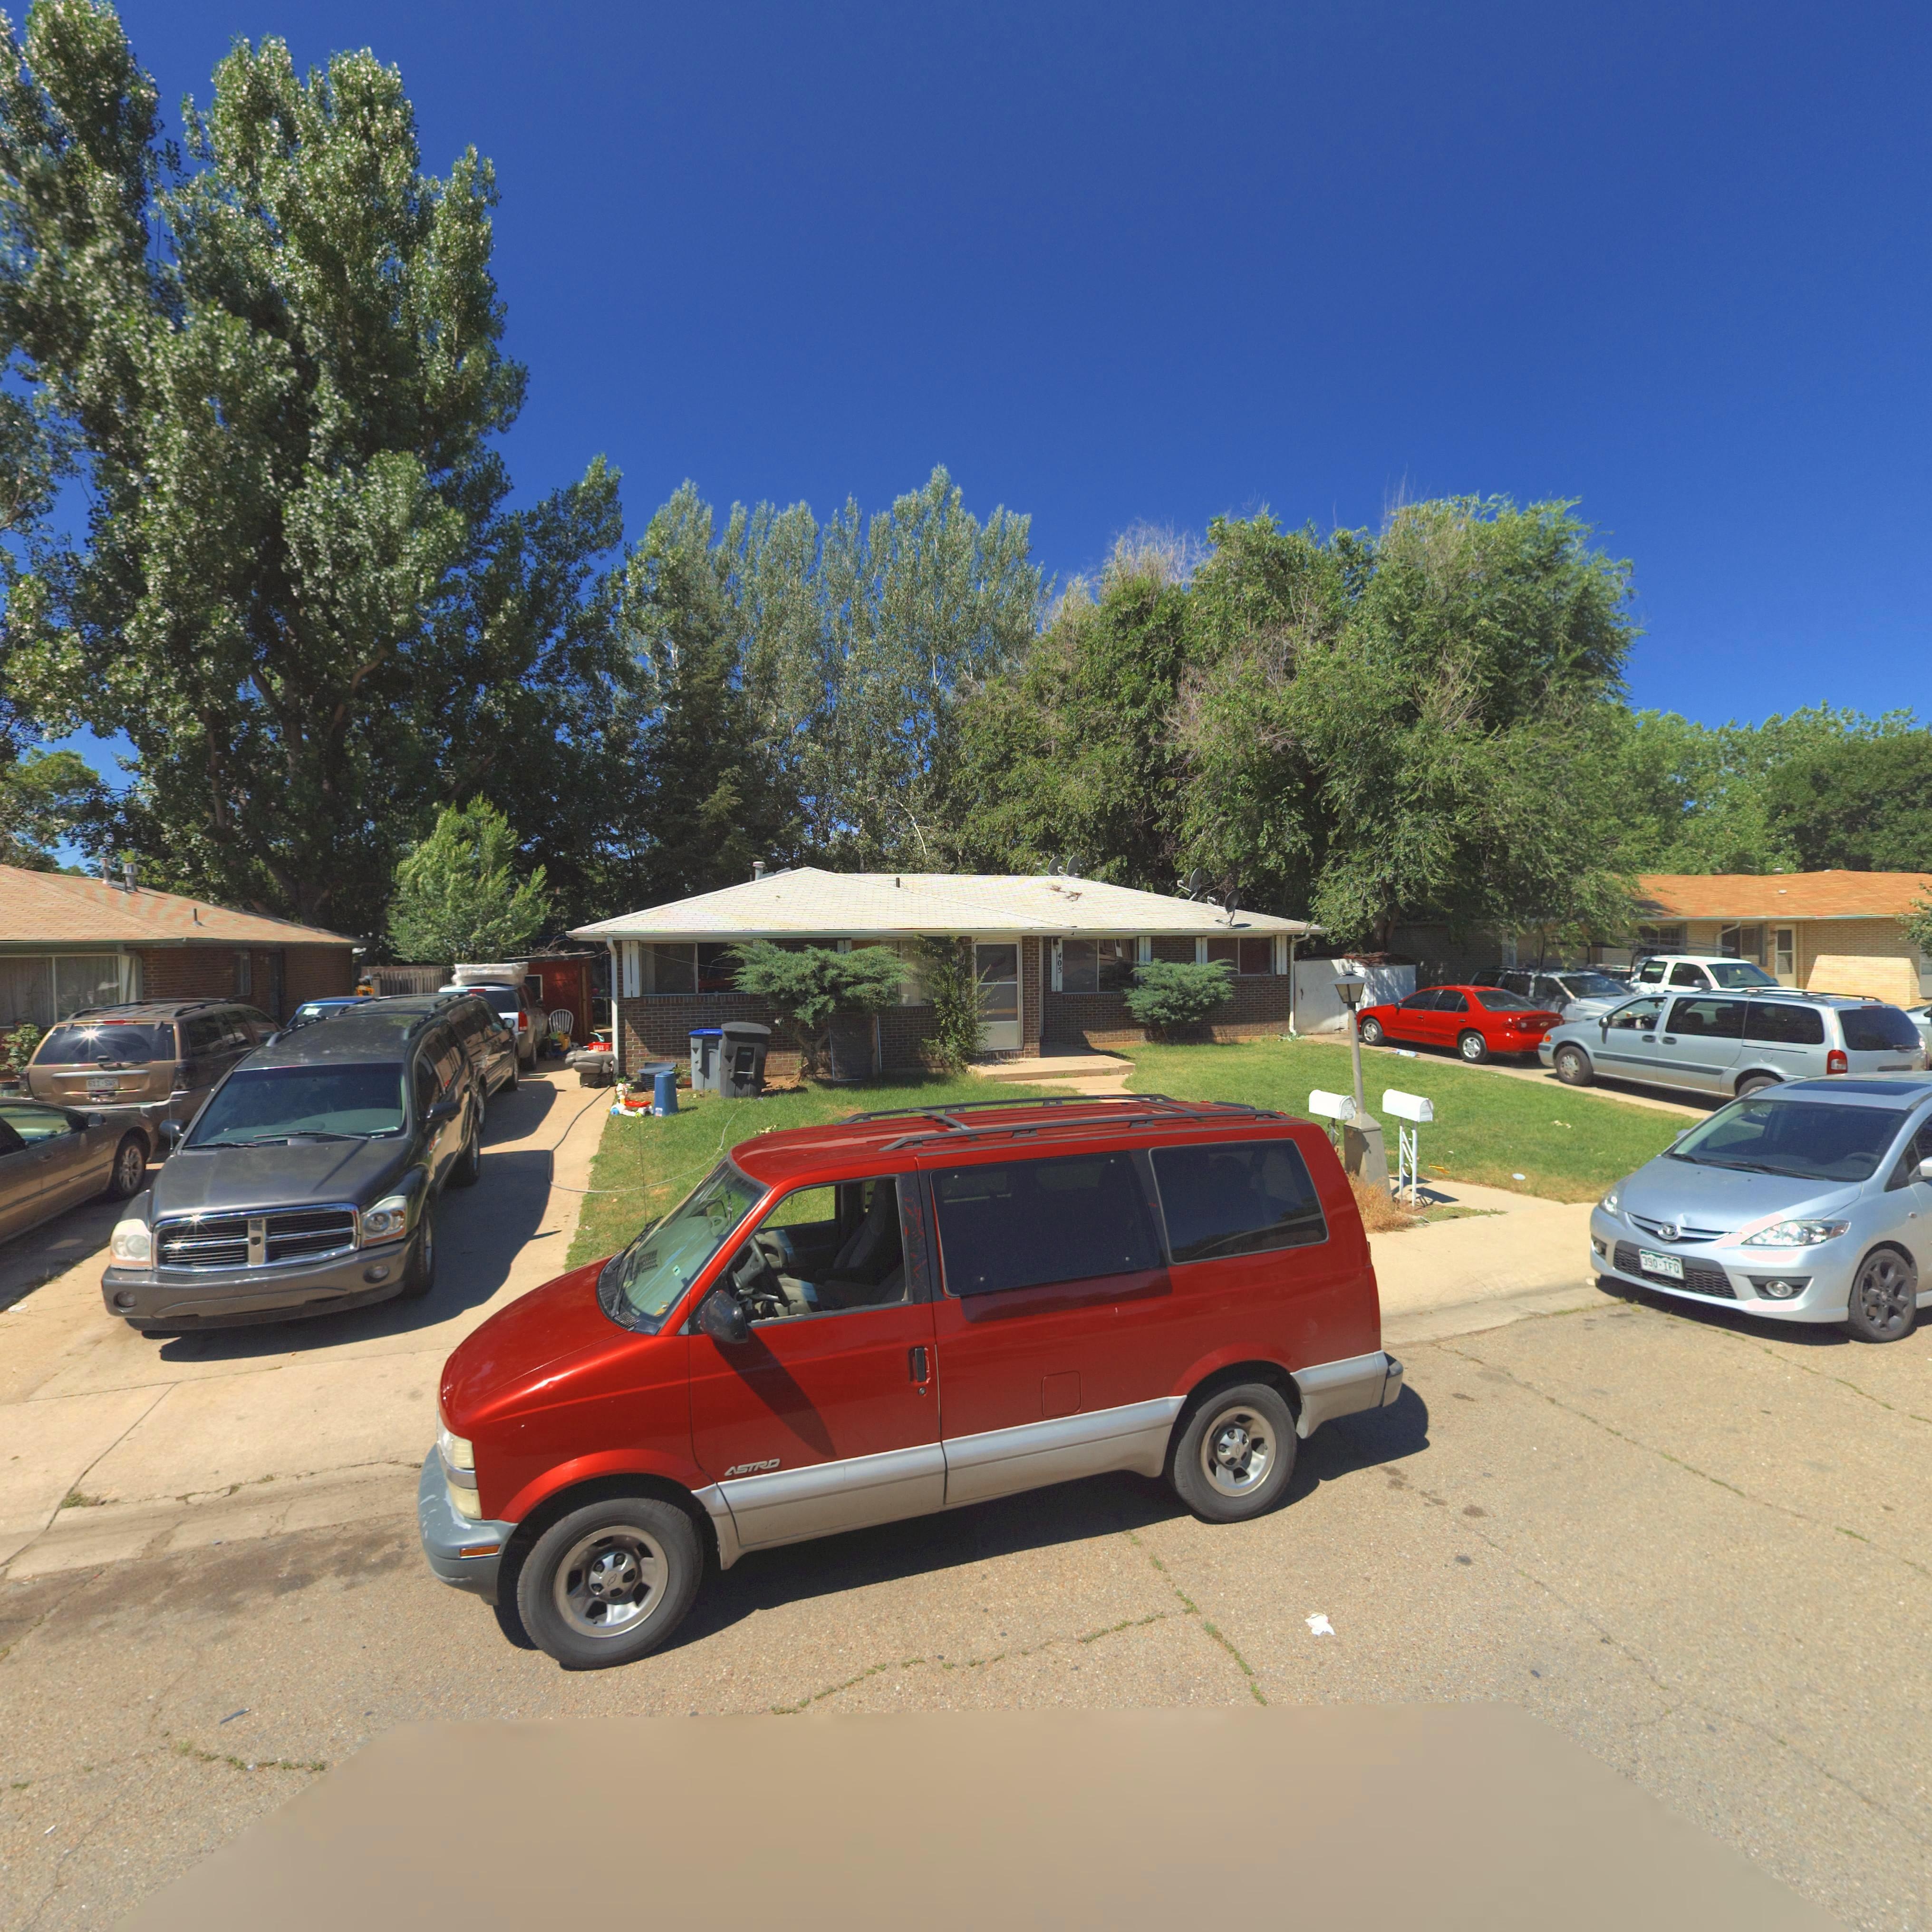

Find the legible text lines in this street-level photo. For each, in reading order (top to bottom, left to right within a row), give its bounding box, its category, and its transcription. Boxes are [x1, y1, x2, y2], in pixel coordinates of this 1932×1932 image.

[1057, 951, 1062, 973] StreetNumber: 405